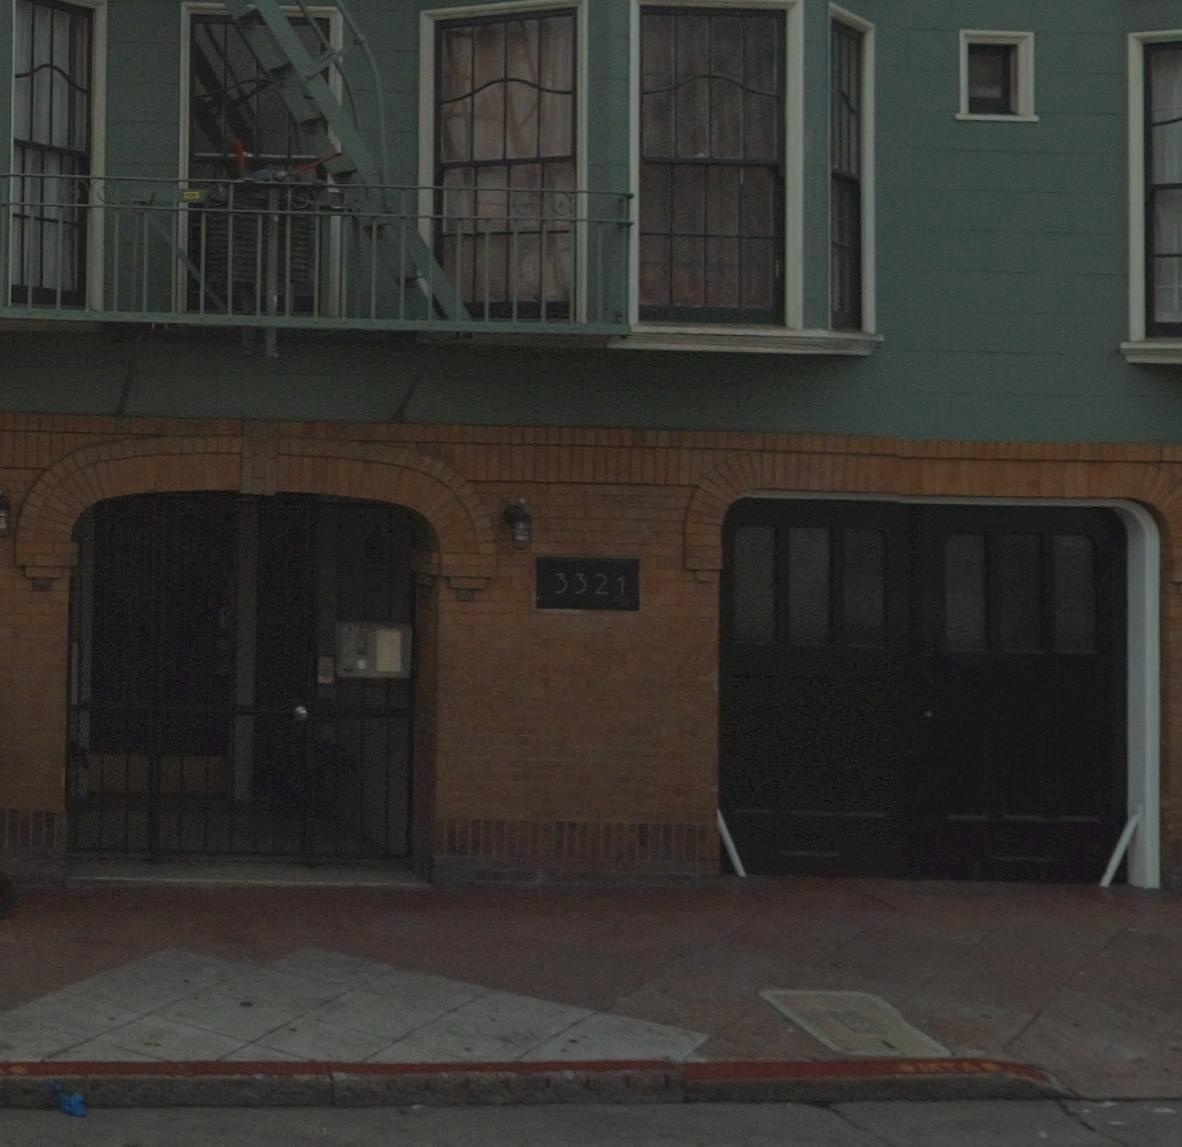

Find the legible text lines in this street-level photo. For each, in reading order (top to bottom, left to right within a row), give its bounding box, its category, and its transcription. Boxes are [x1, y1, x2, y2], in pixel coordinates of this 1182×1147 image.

[553, 570, 627, 598] StreetNumber: 3321
[912, 1060, 985, 1076] None: MTA